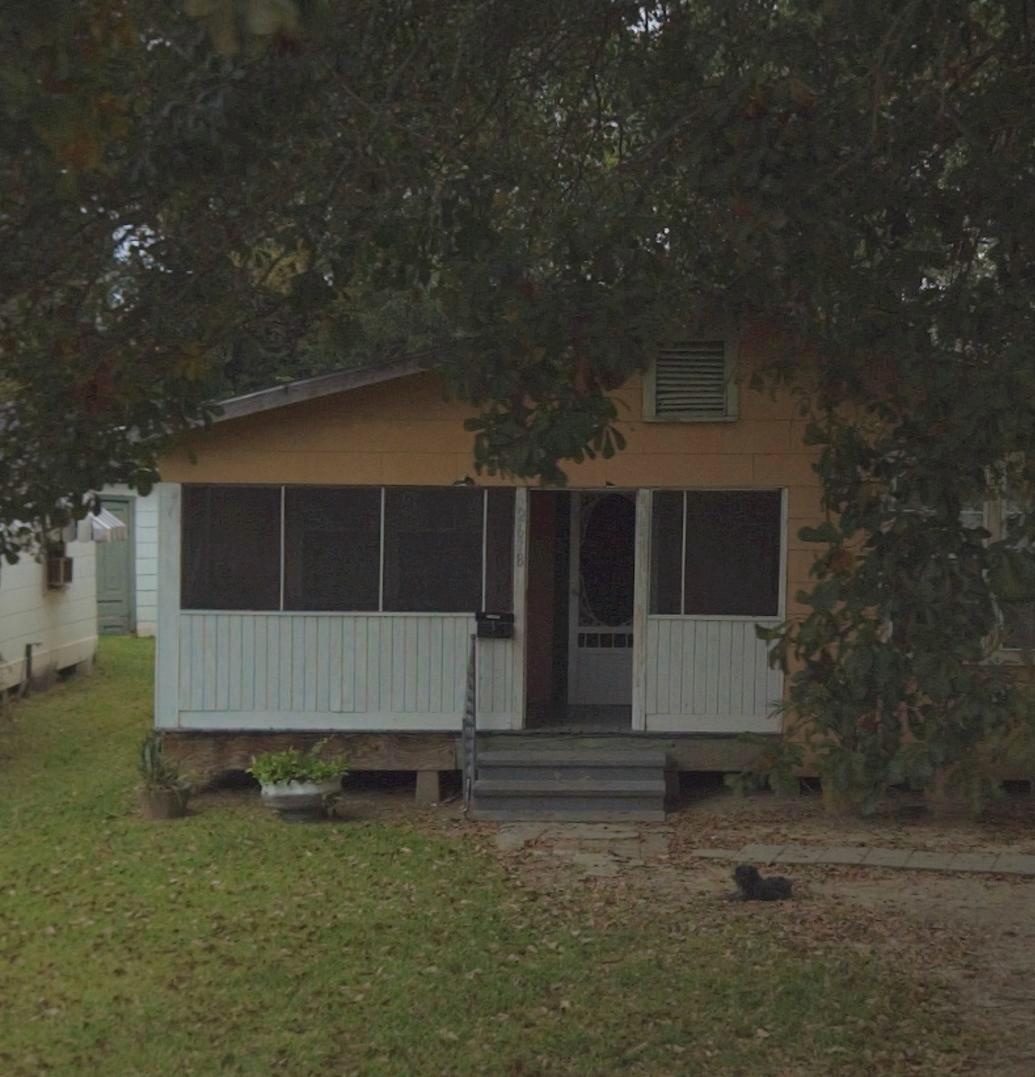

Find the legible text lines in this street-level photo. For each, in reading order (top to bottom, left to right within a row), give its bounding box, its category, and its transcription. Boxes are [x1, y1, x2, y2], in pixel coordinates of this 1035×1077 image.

[516, 508, 524, 568] StreetNumber: 2628